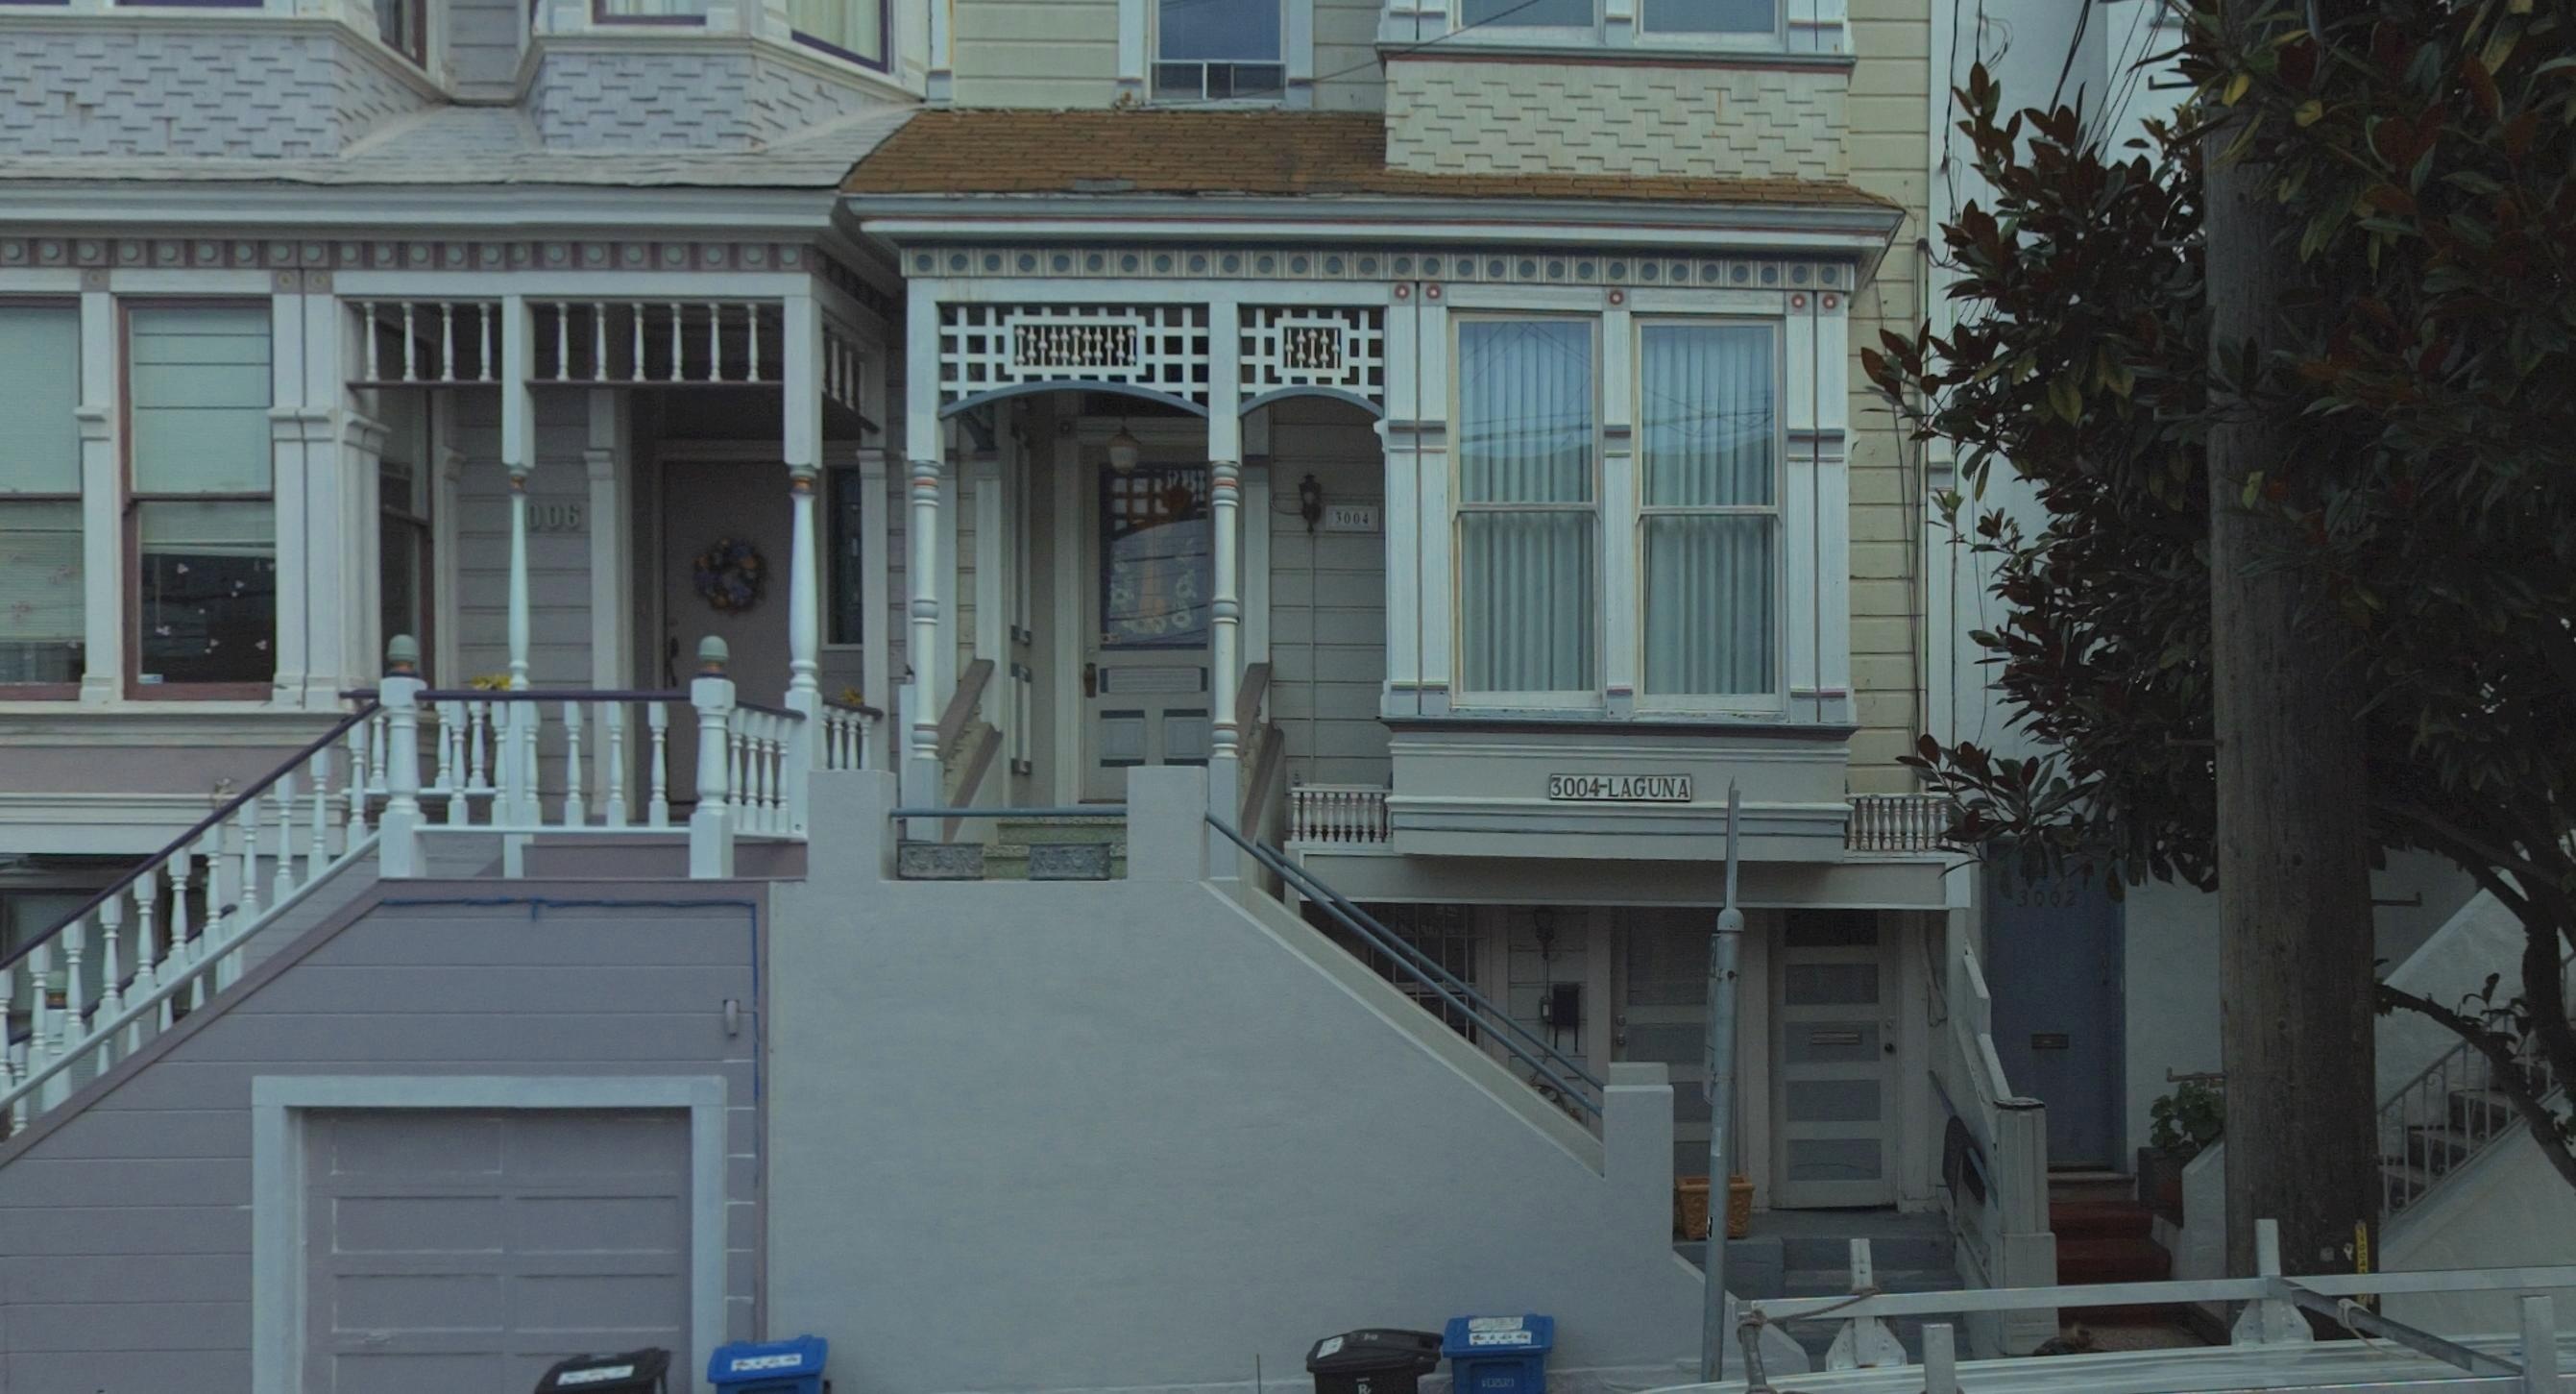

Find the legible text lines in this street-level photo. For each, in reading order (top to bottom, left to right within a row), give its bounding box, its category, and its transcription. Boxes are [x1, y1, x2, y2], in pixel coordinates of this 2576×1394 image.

[523, 501, 582, 531] StreetNumber: 3006
[1333, 509, 1371, 527] StreetNumber: 3004
[1550, 774, 1601, 800] StreetNumber: 3004
[1606, 774, 1691, 800] StreetName: LAGUNA
[2014, 886, 2079, 910] StreetNumber: 3002
[2354, 1225, 2369, 1271] None: 1100*